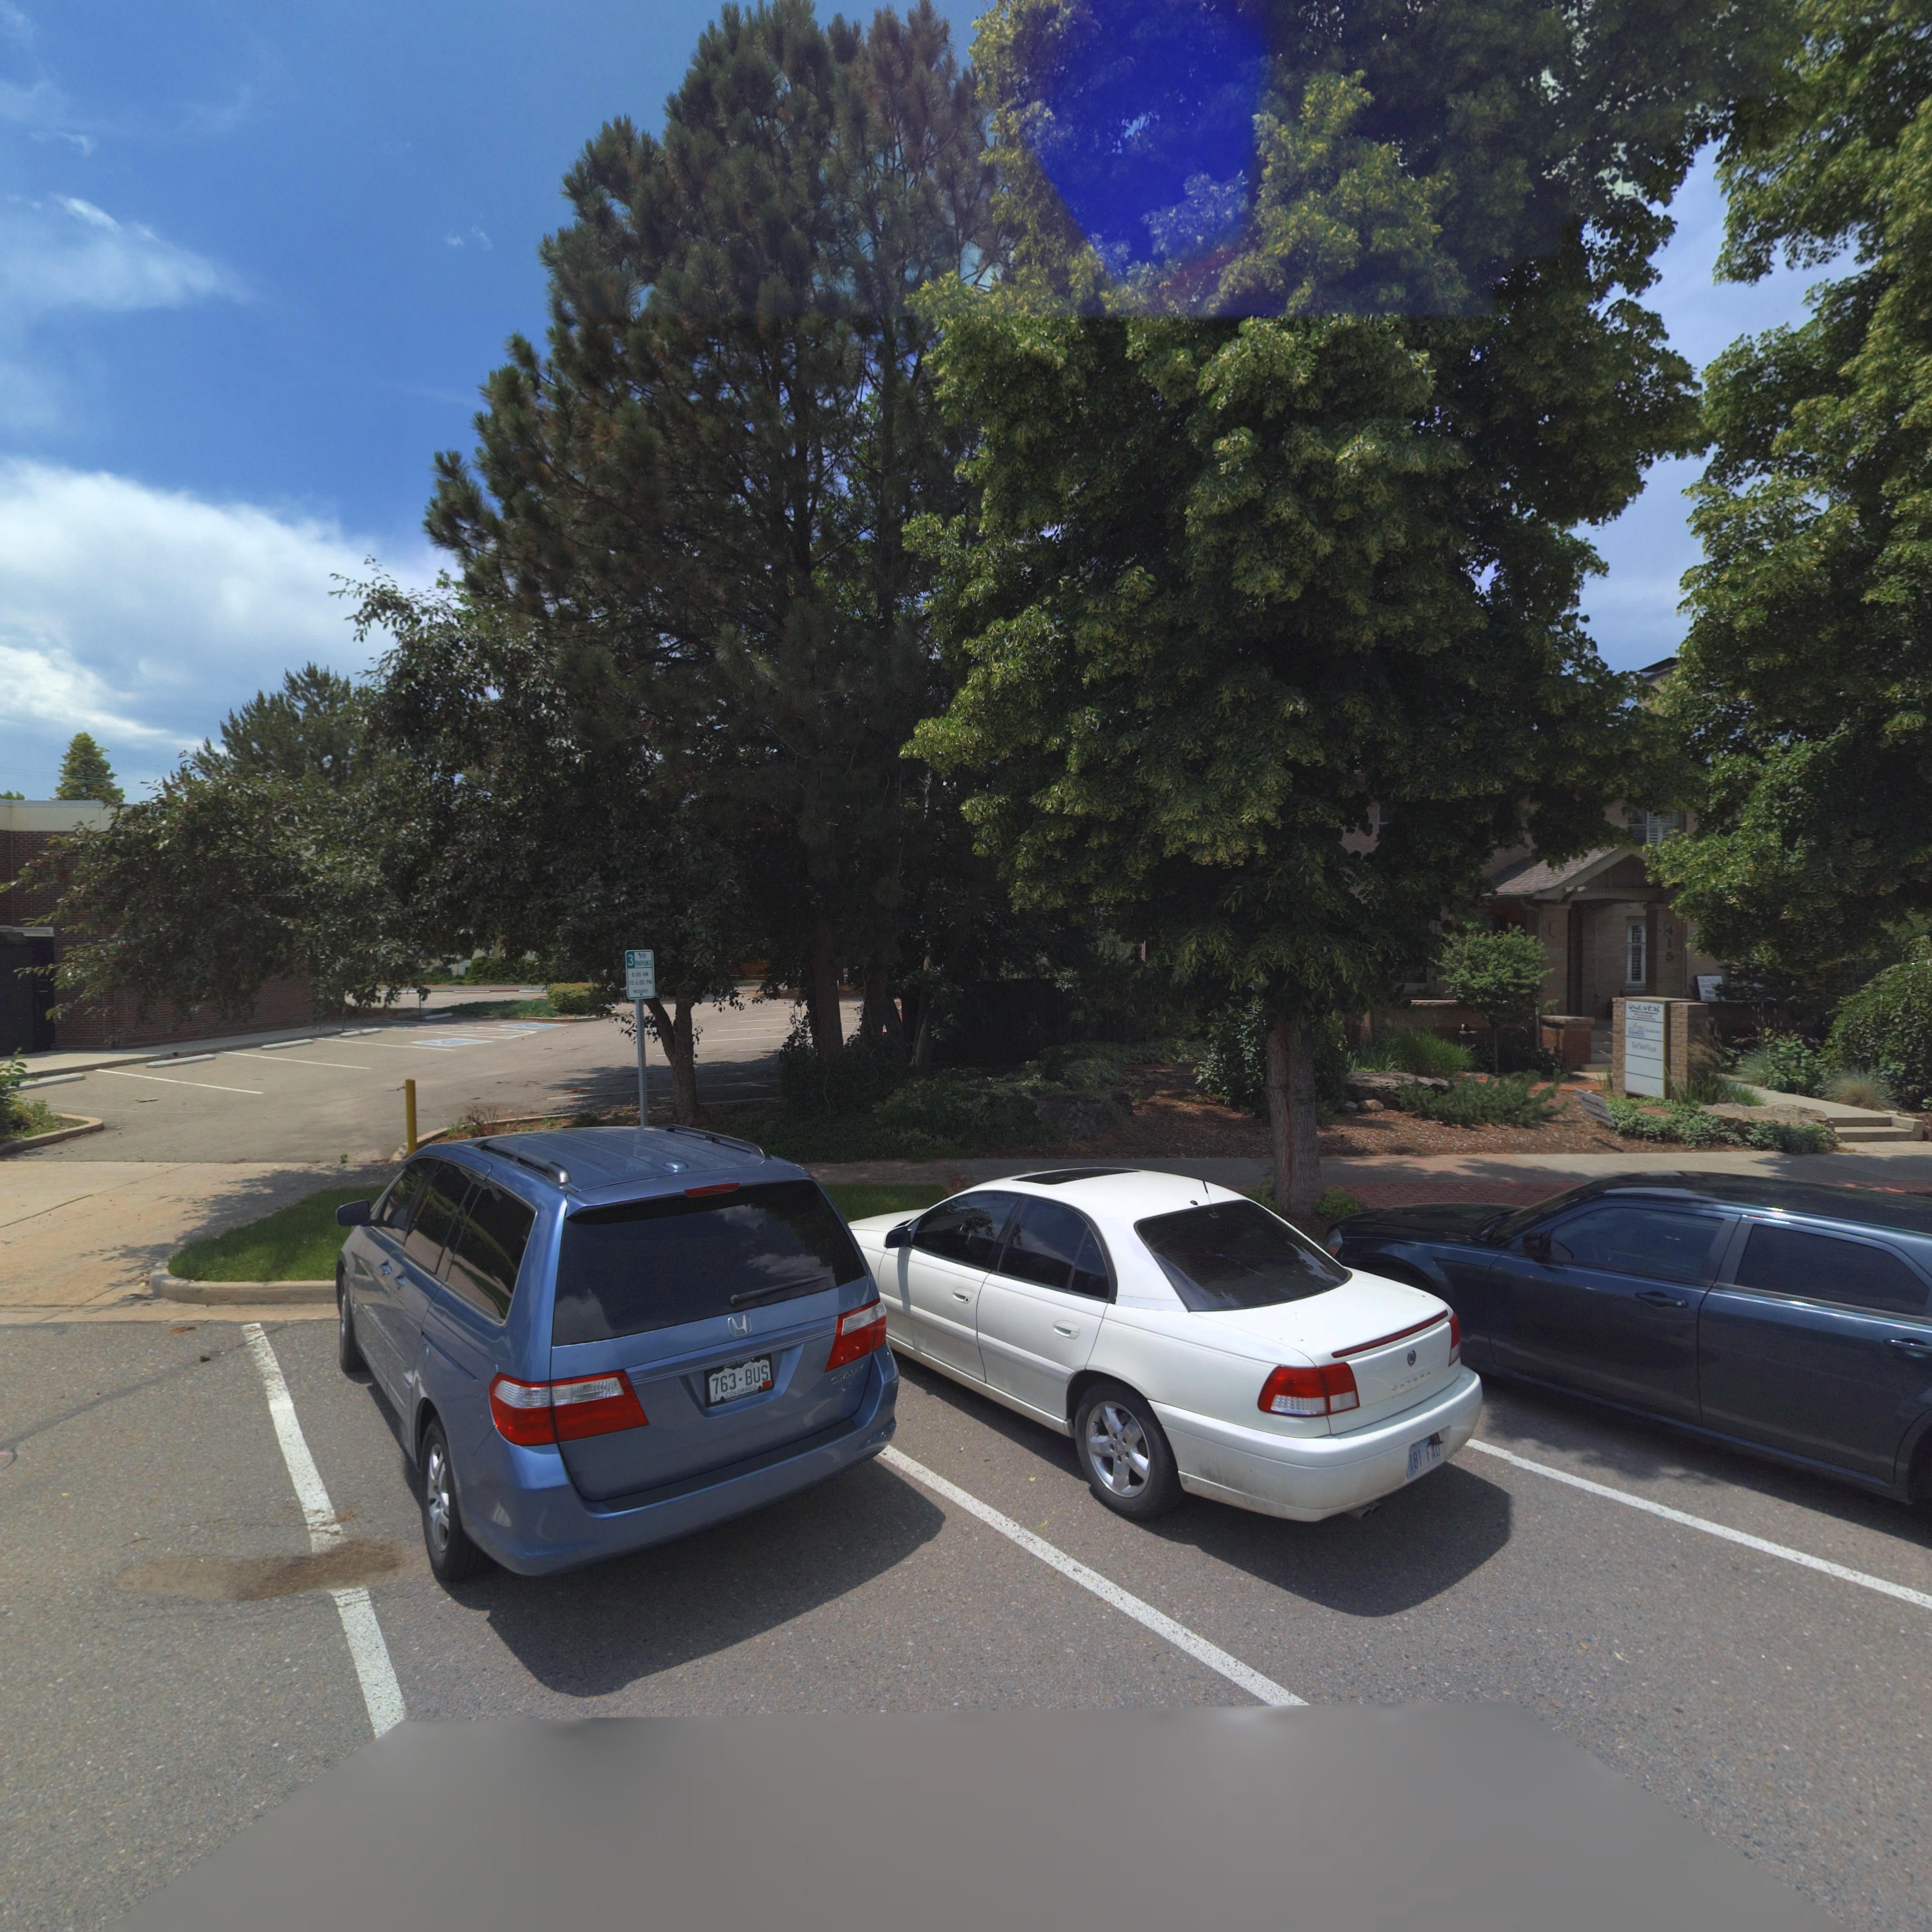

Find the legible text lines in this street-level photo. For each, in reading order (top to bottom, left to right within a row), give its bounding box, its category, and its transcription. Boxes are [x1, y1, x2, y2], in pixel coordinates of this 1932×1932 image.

[1665, 925, 1674, 962] StreetNumber: 415